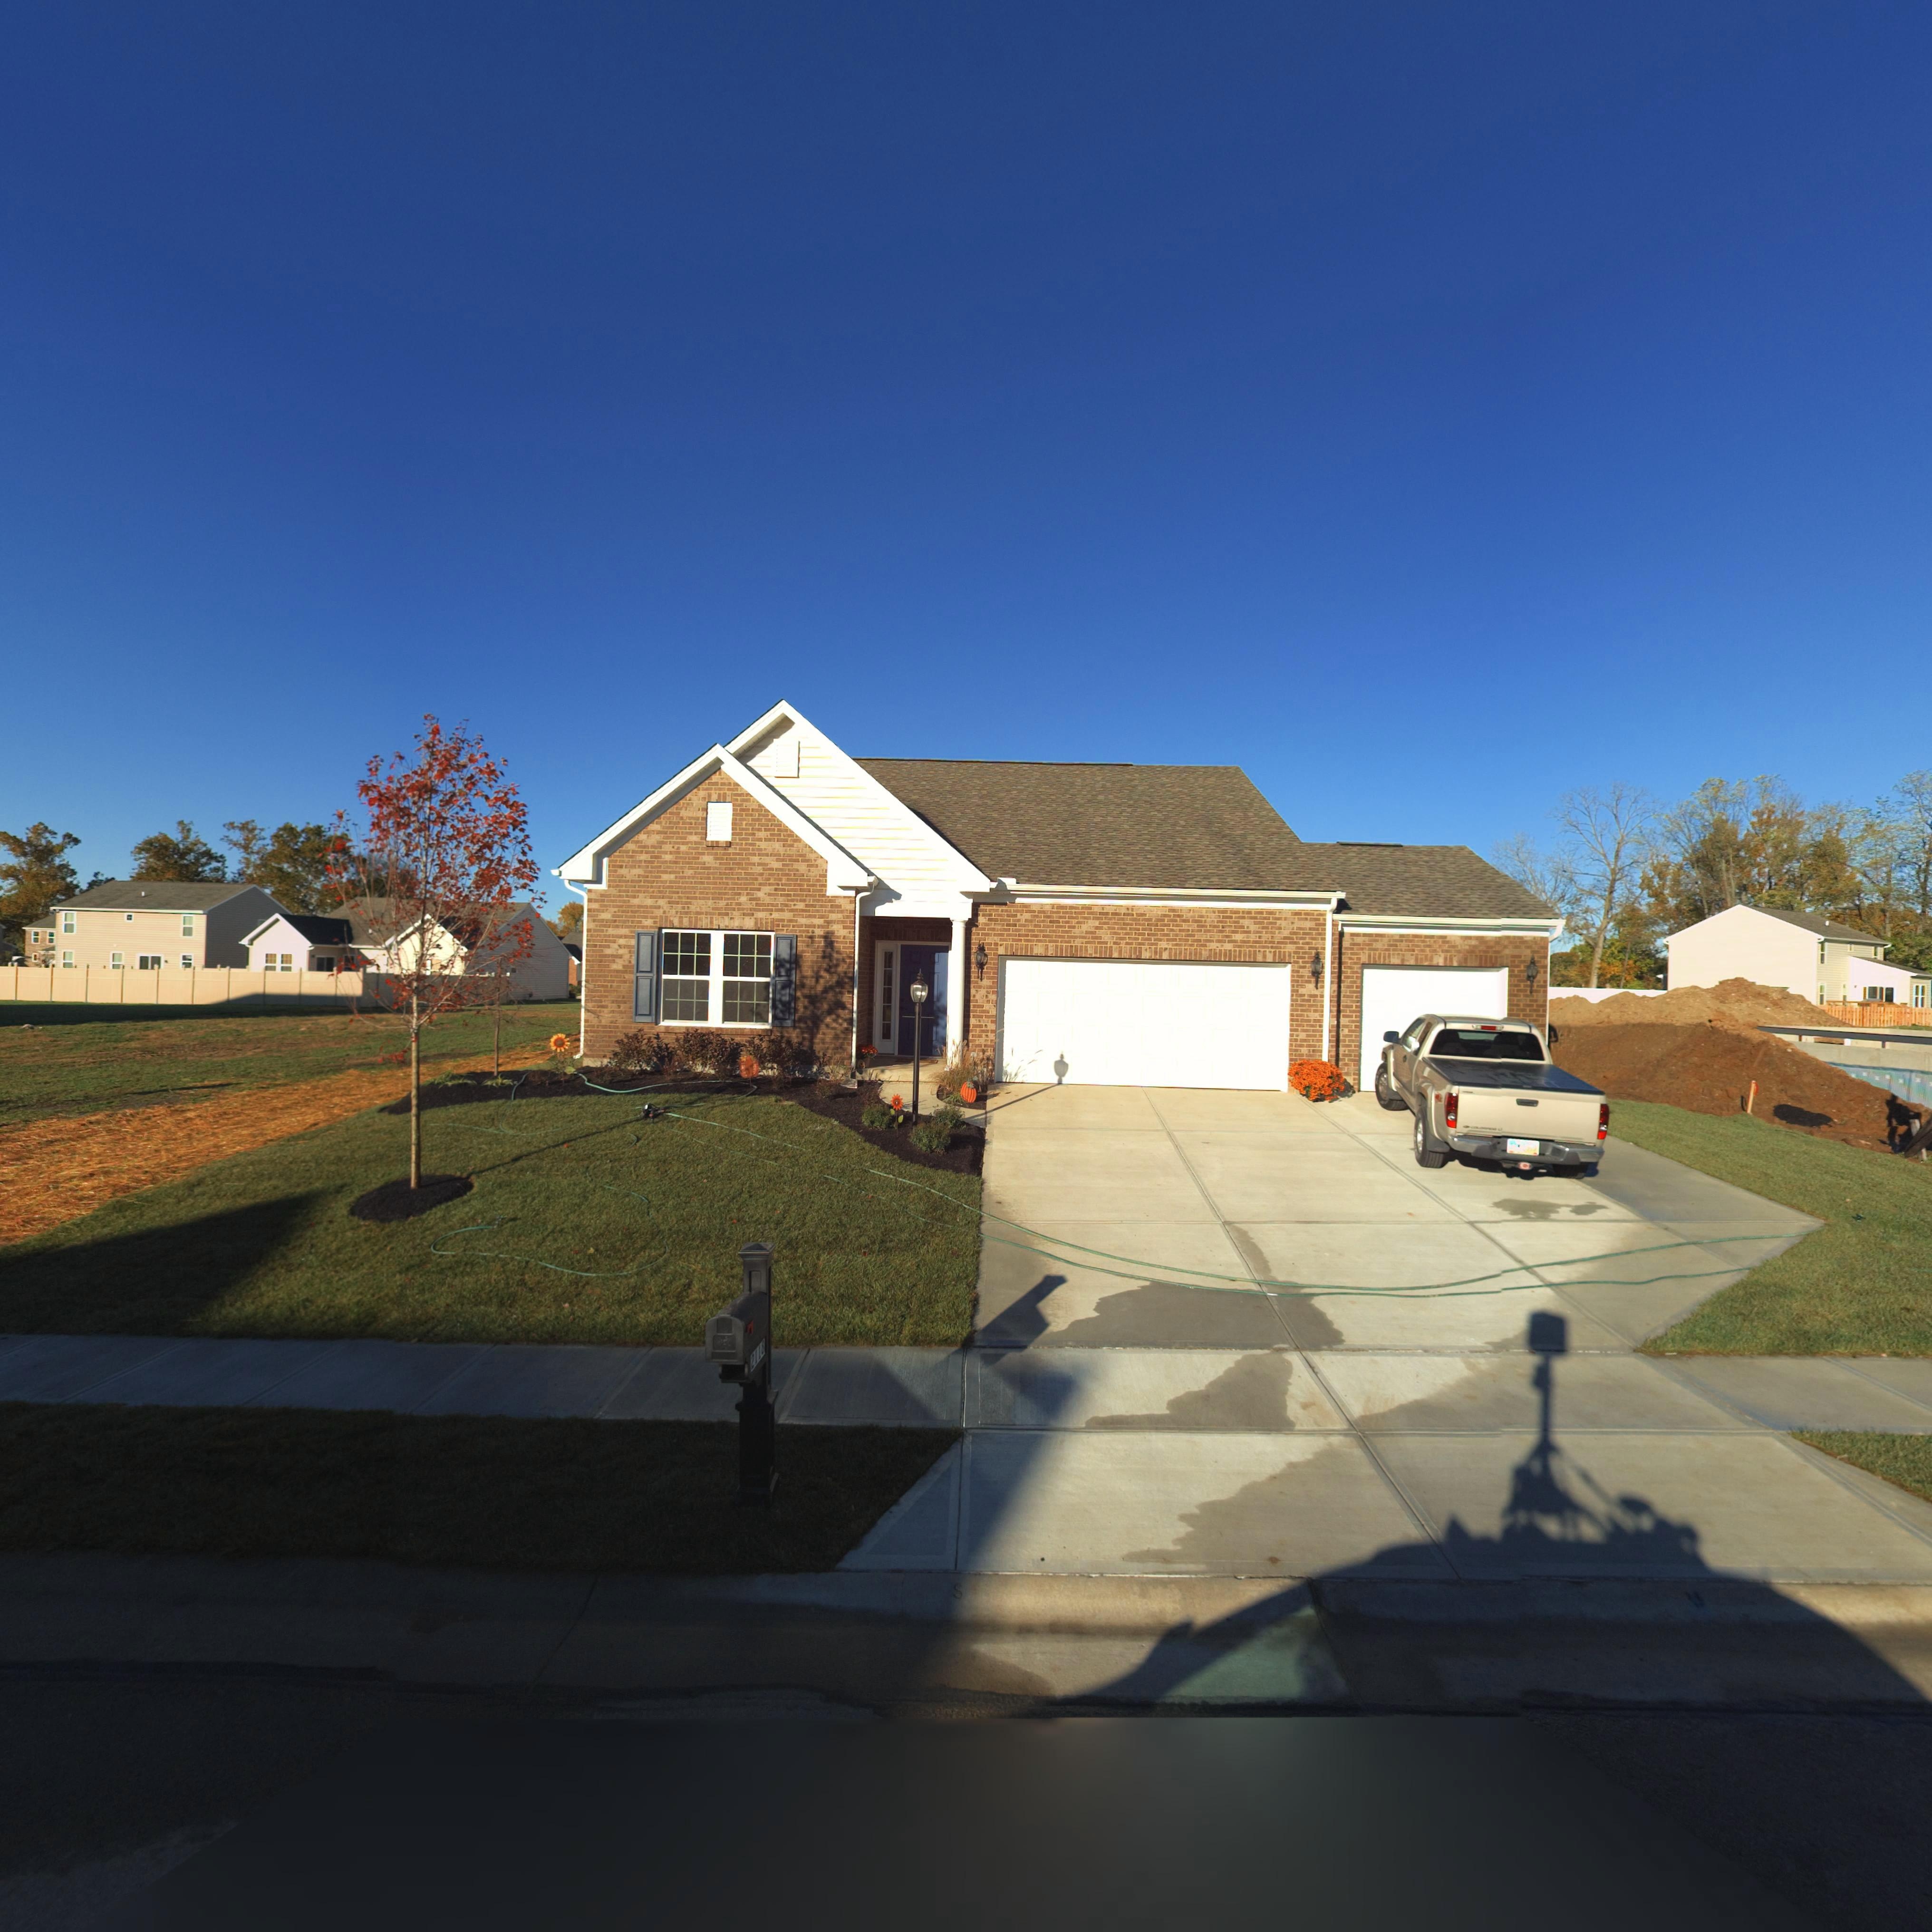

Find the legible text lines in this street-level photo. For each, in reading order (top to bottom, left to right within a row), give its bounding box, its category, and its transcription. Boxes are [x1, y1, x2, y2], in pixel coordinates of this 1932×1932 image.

[750, 1338, 765, 1372] StreetNumber: 2118